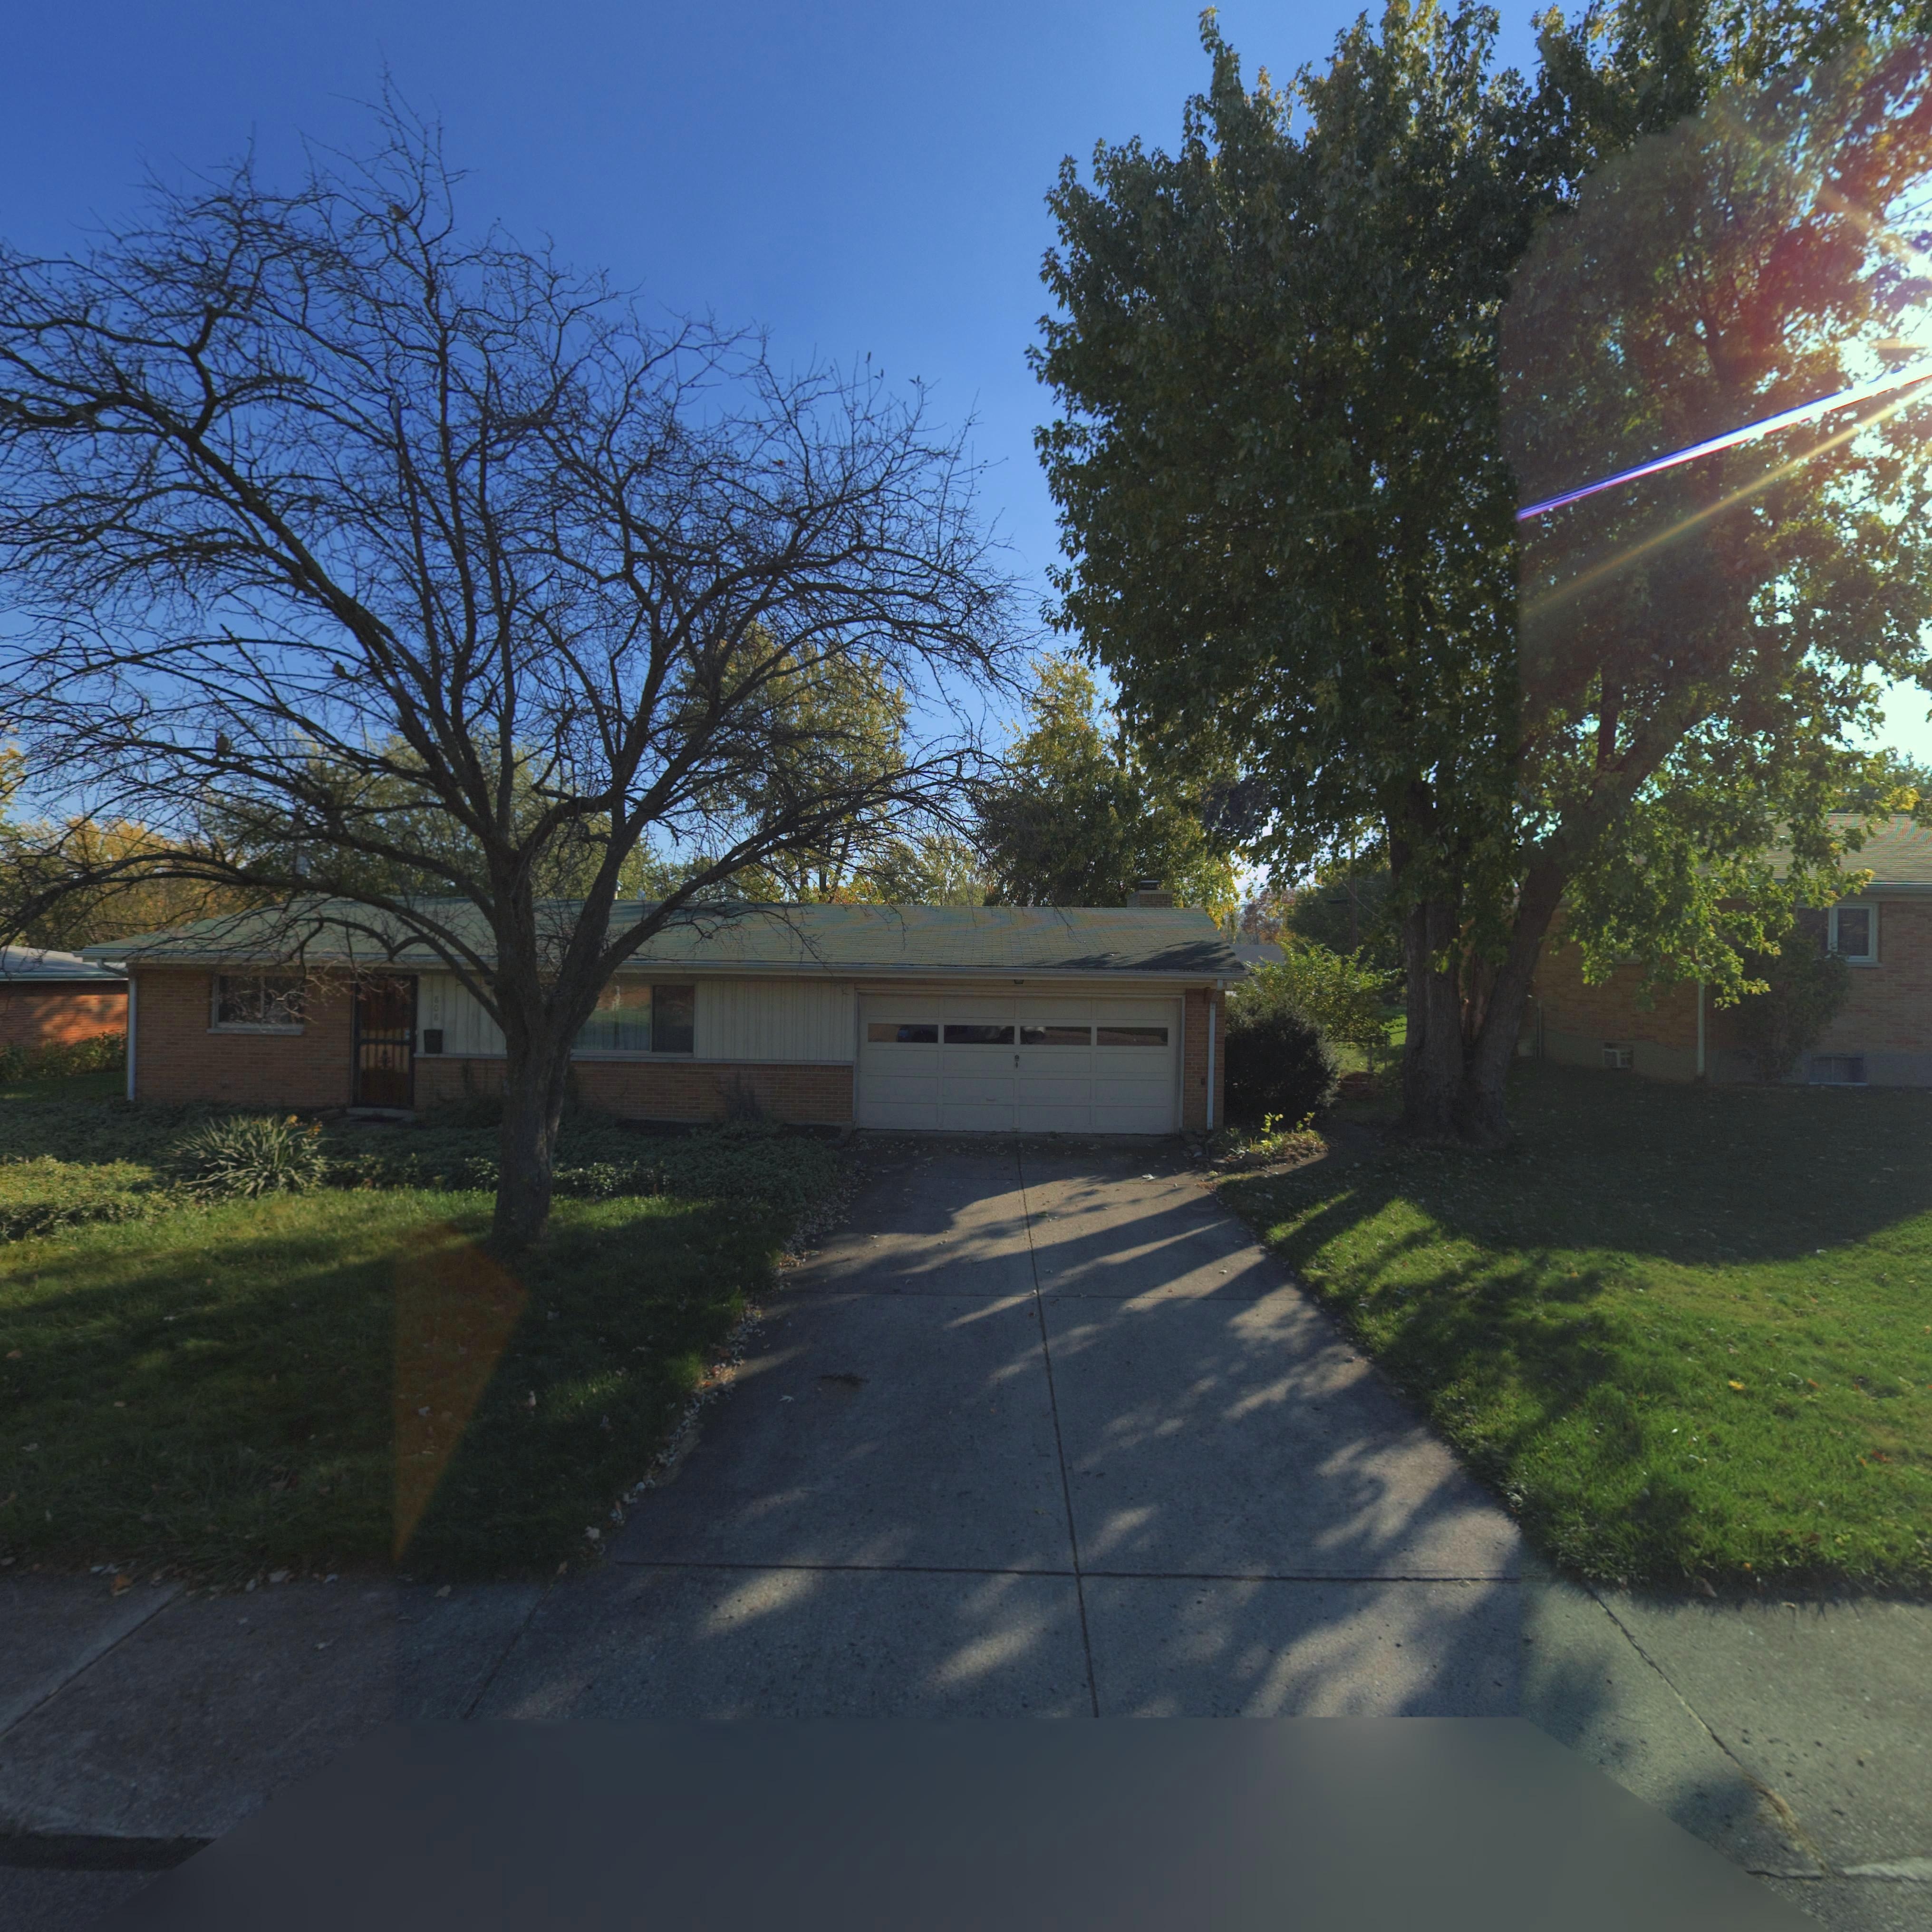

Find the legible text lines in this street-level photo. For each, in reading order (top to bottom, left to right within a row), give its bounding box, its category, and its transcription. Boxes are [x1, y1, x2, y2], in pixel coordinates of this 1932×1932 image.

[433, 995, 439, 1020] StreetNumber: 808